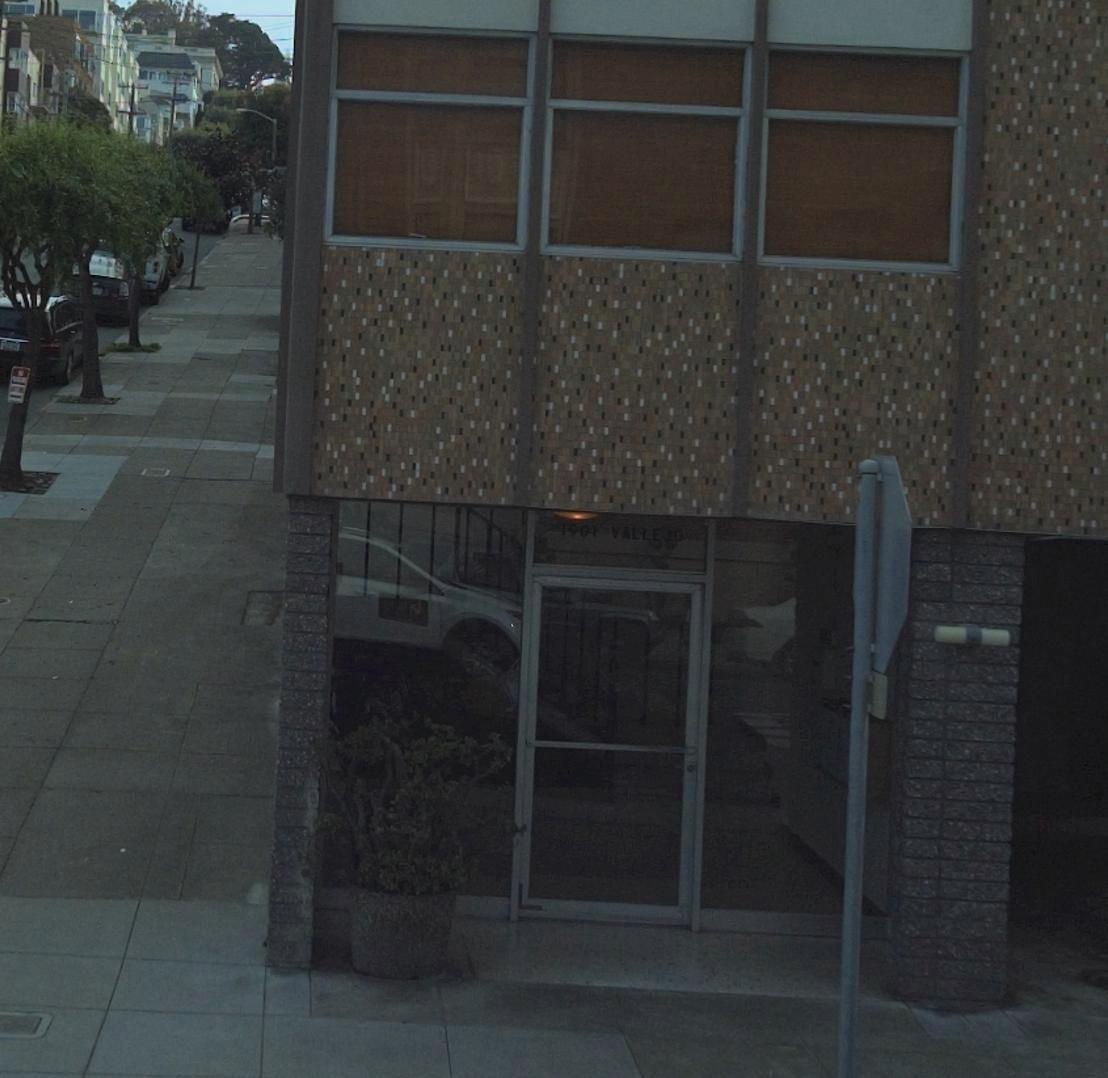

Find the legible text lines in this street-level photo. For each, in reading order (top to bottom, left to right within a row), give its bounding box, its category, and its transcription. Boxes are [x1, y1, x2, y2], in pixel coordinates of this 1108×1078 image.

[557, 520, 599, 541] StreetNumber: 1901
[608, 524, 687, 544] StreetName: VALLE **